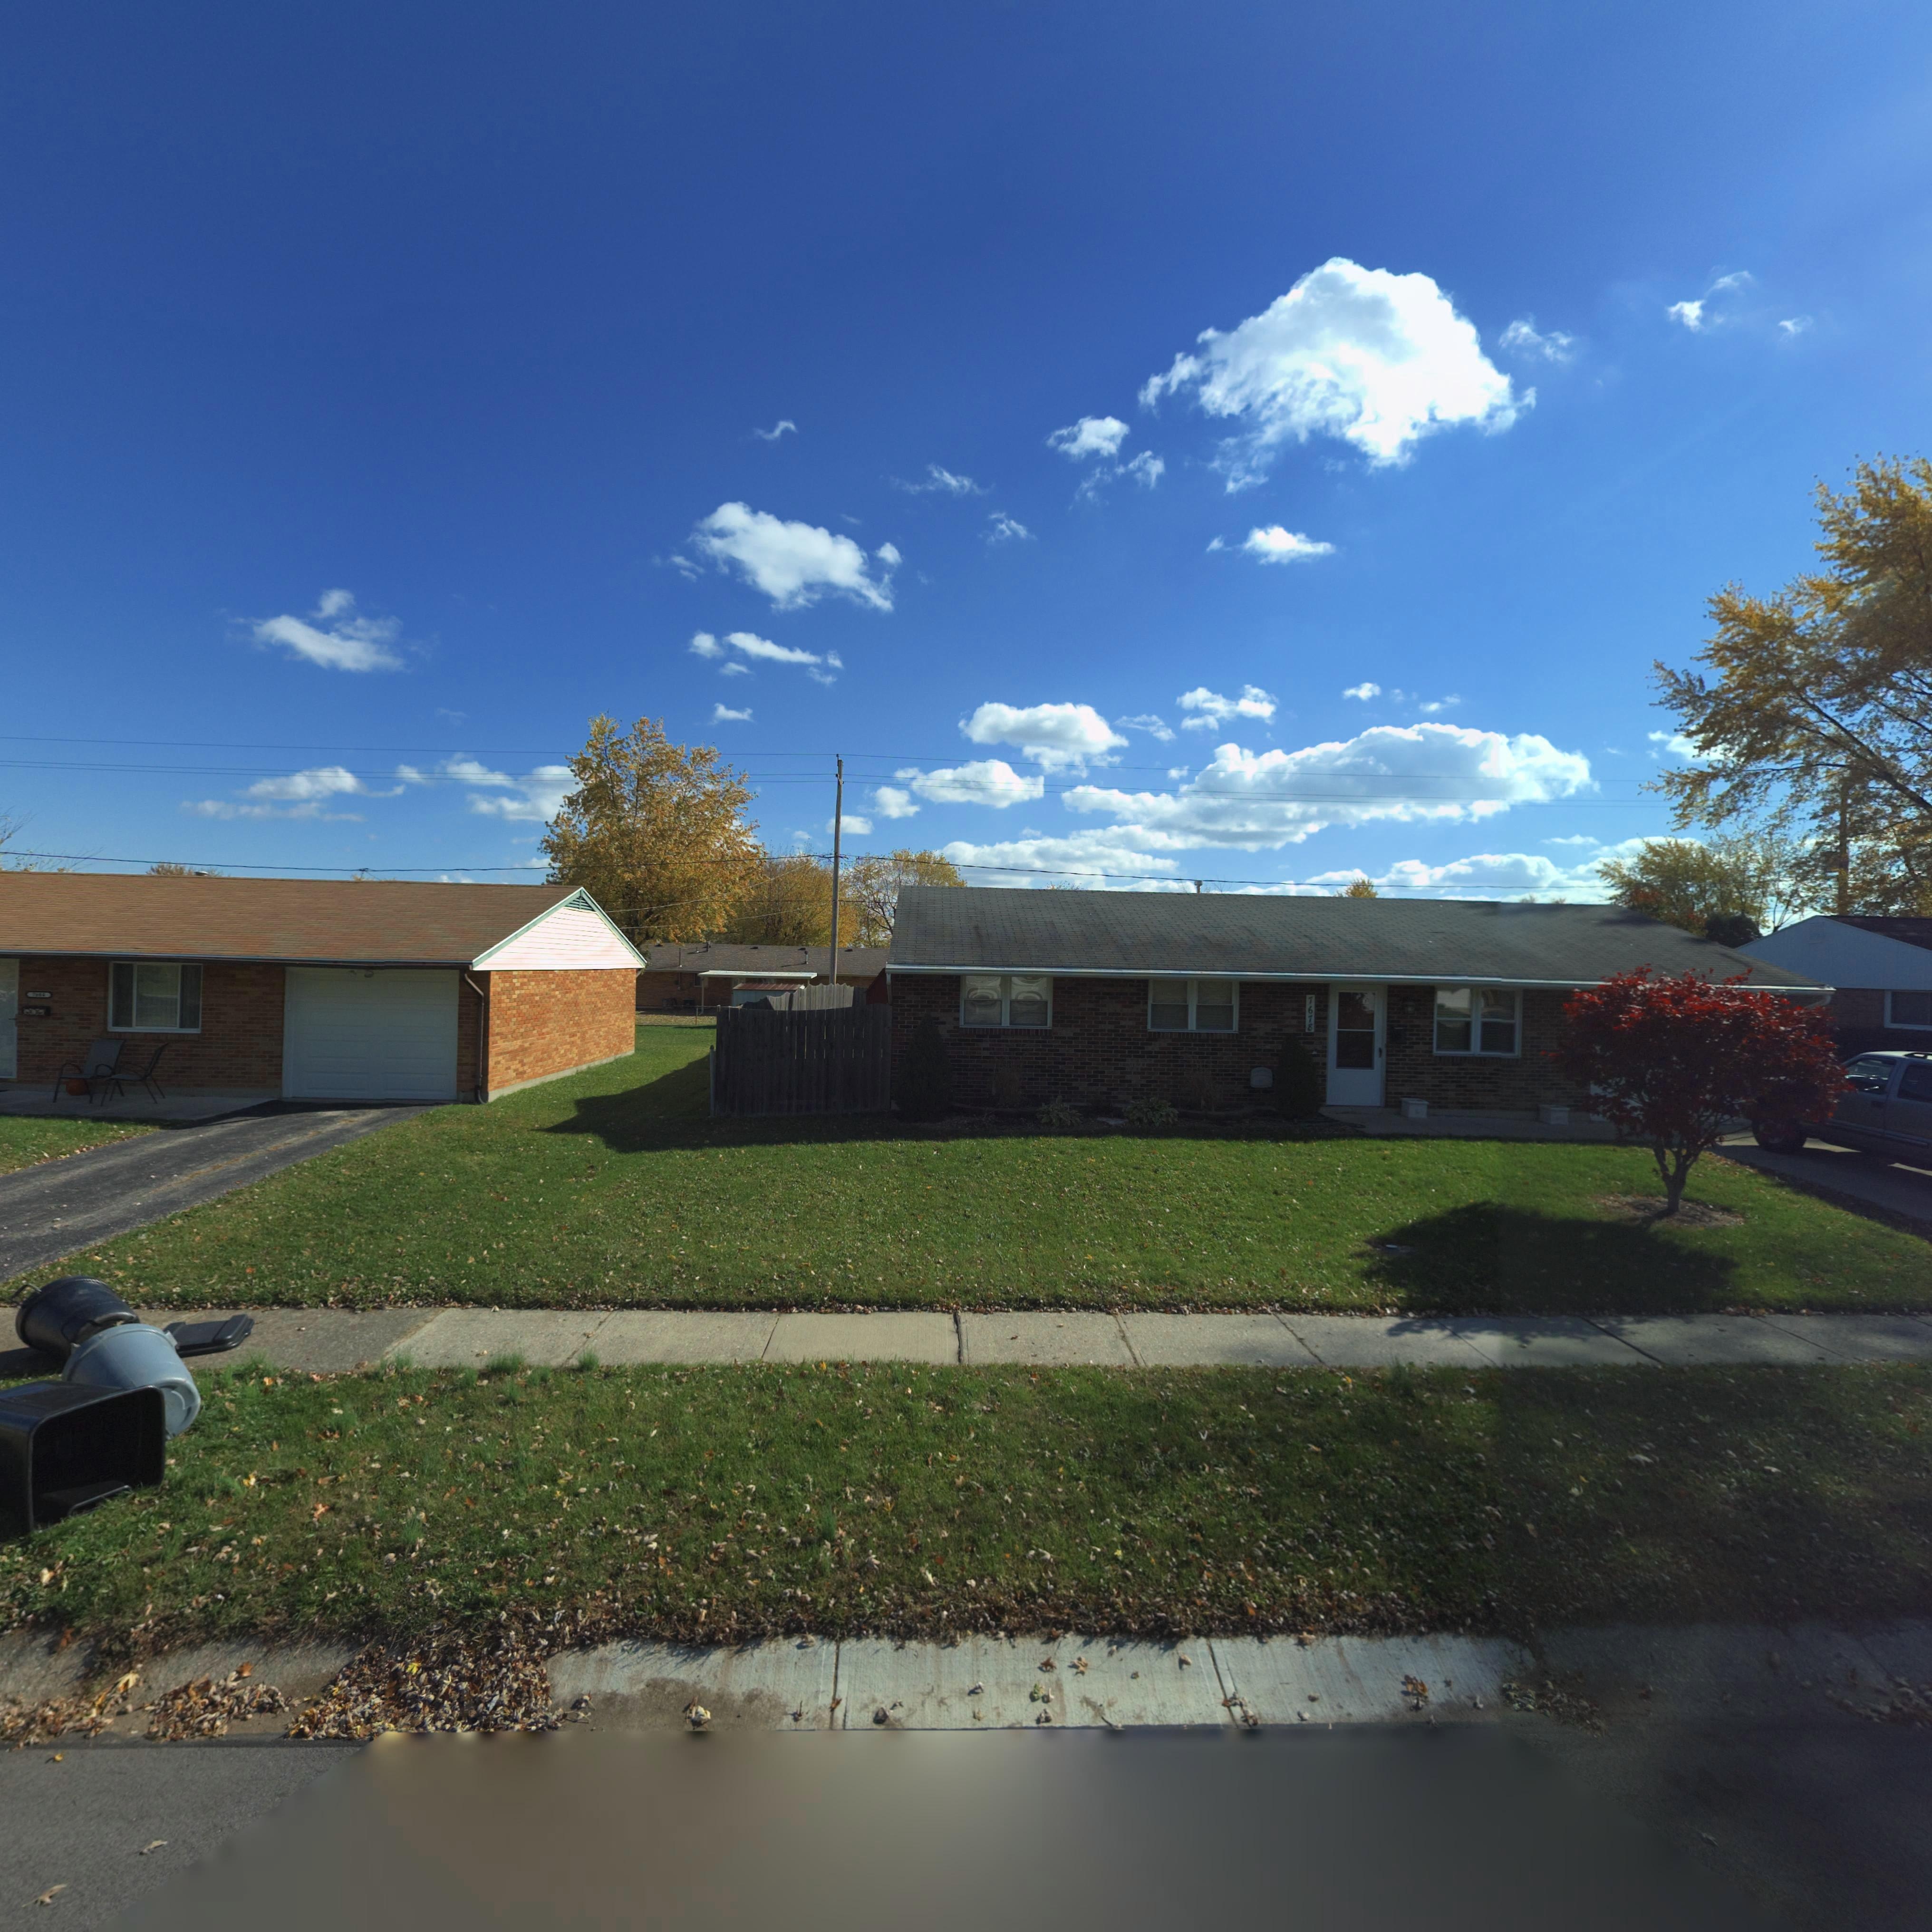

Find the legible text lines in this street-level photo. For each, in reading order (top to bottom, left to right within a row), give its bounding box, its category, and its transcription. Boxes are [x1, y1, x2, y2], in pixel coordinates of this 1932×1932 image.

[1307, 994, 1314, 1033] StreetNumber: 7678